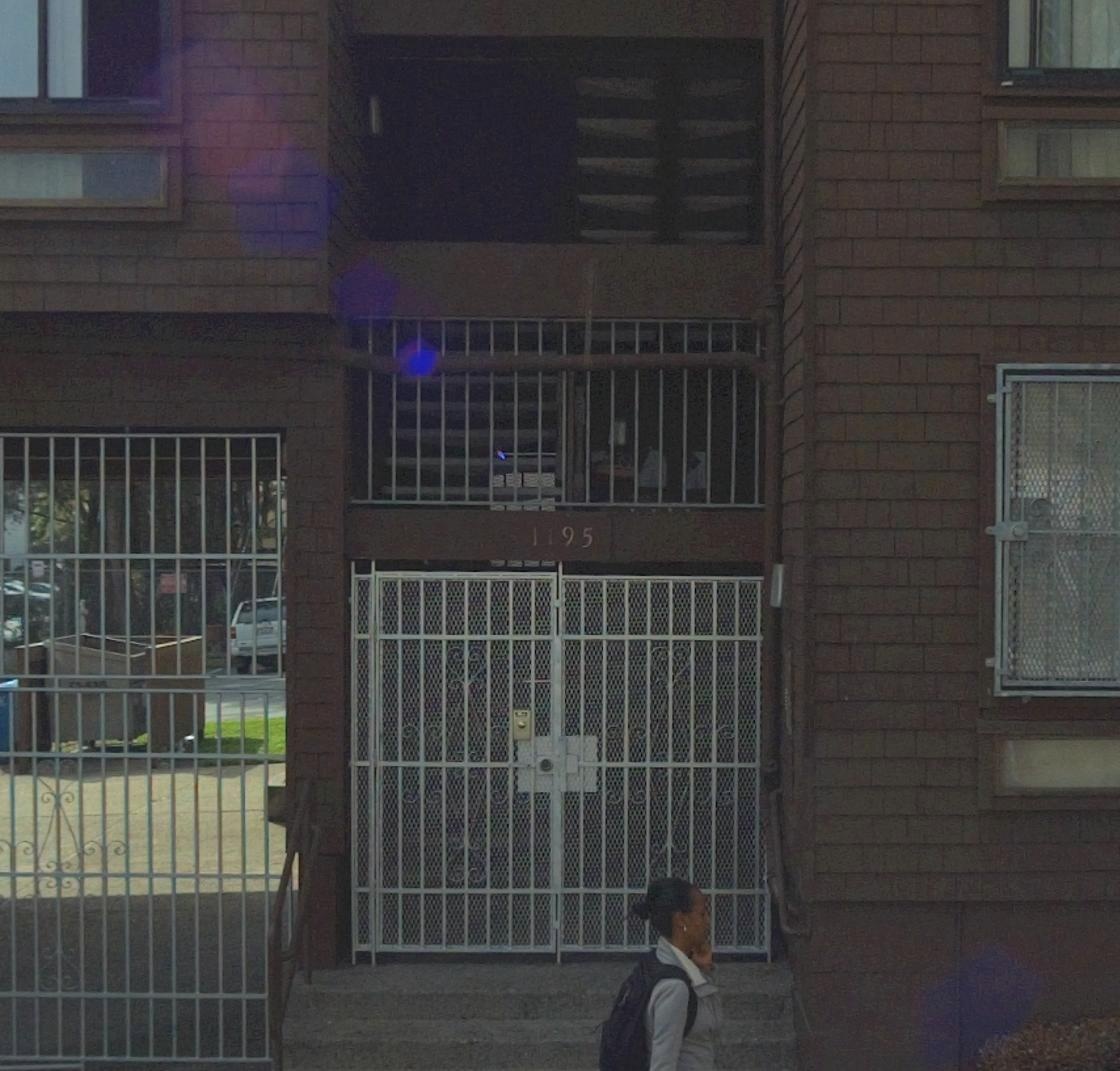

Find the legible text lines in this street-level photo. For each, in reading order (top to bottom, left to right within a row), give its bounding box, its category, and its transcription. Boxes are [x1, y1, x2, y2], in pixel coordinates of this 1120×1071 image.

[530, 524, 595, 550] StreetNumber: 1195